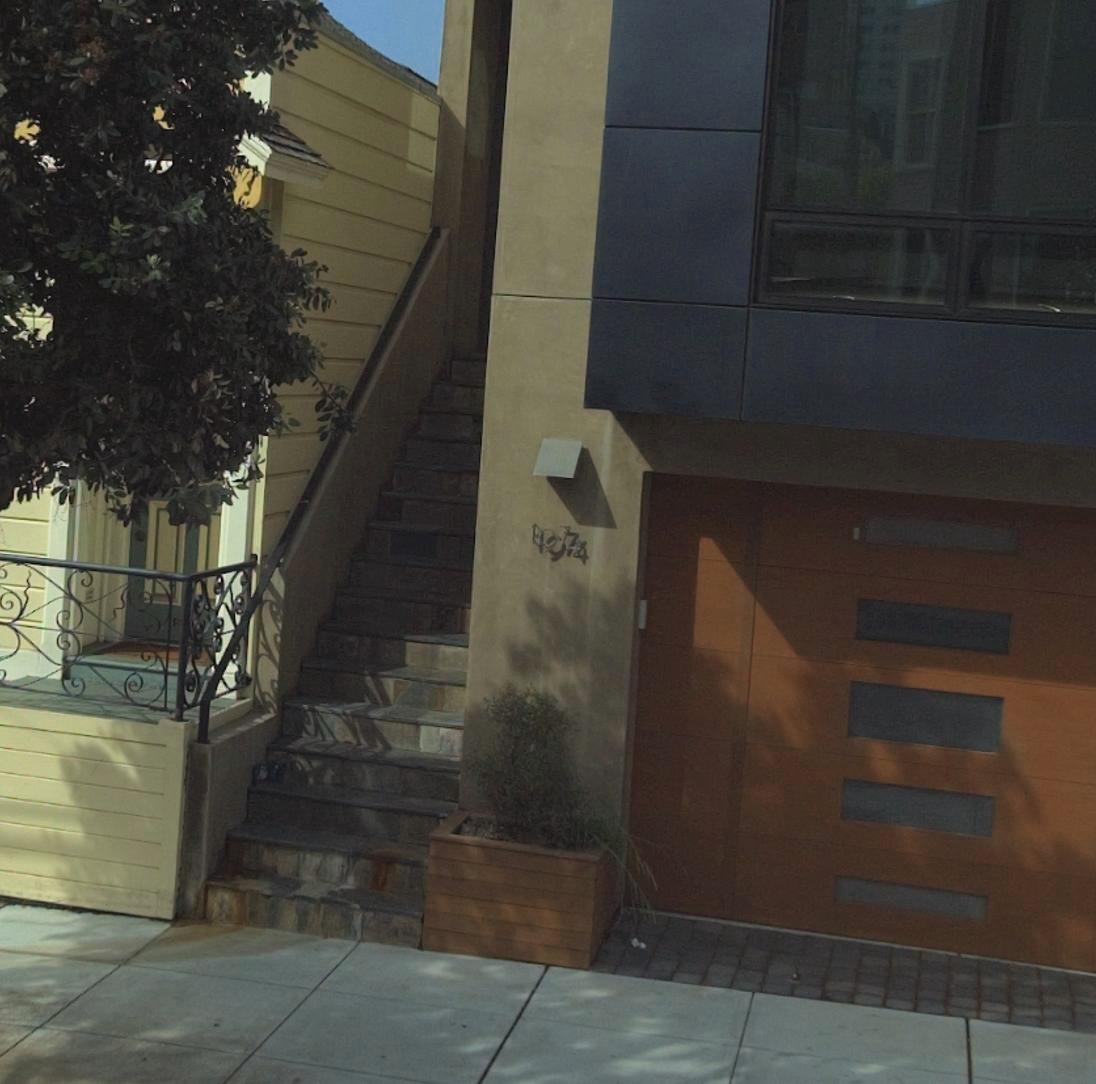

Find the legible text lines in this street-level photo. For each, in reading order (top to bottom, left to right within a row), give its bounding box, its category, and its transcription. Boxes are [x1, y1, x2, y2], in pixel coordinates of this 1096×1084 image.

[527, 522, 583, 558] StreetNumber: 1974